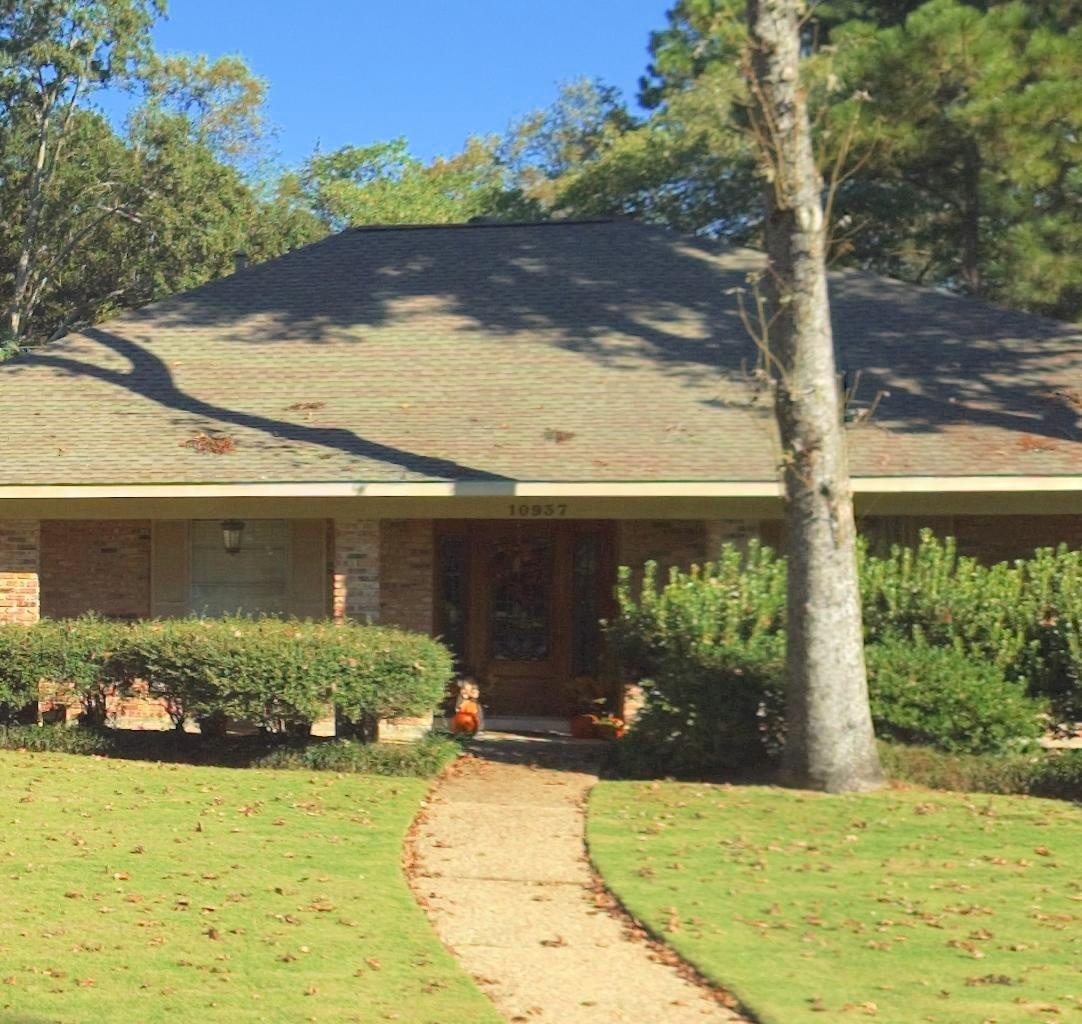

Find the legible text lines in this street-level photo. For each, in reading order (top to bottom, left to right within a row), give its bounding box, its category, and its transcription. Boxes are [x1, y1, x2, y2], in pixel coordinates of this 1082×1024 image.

[506, 502, 570, 519] StreetNumber: 10937